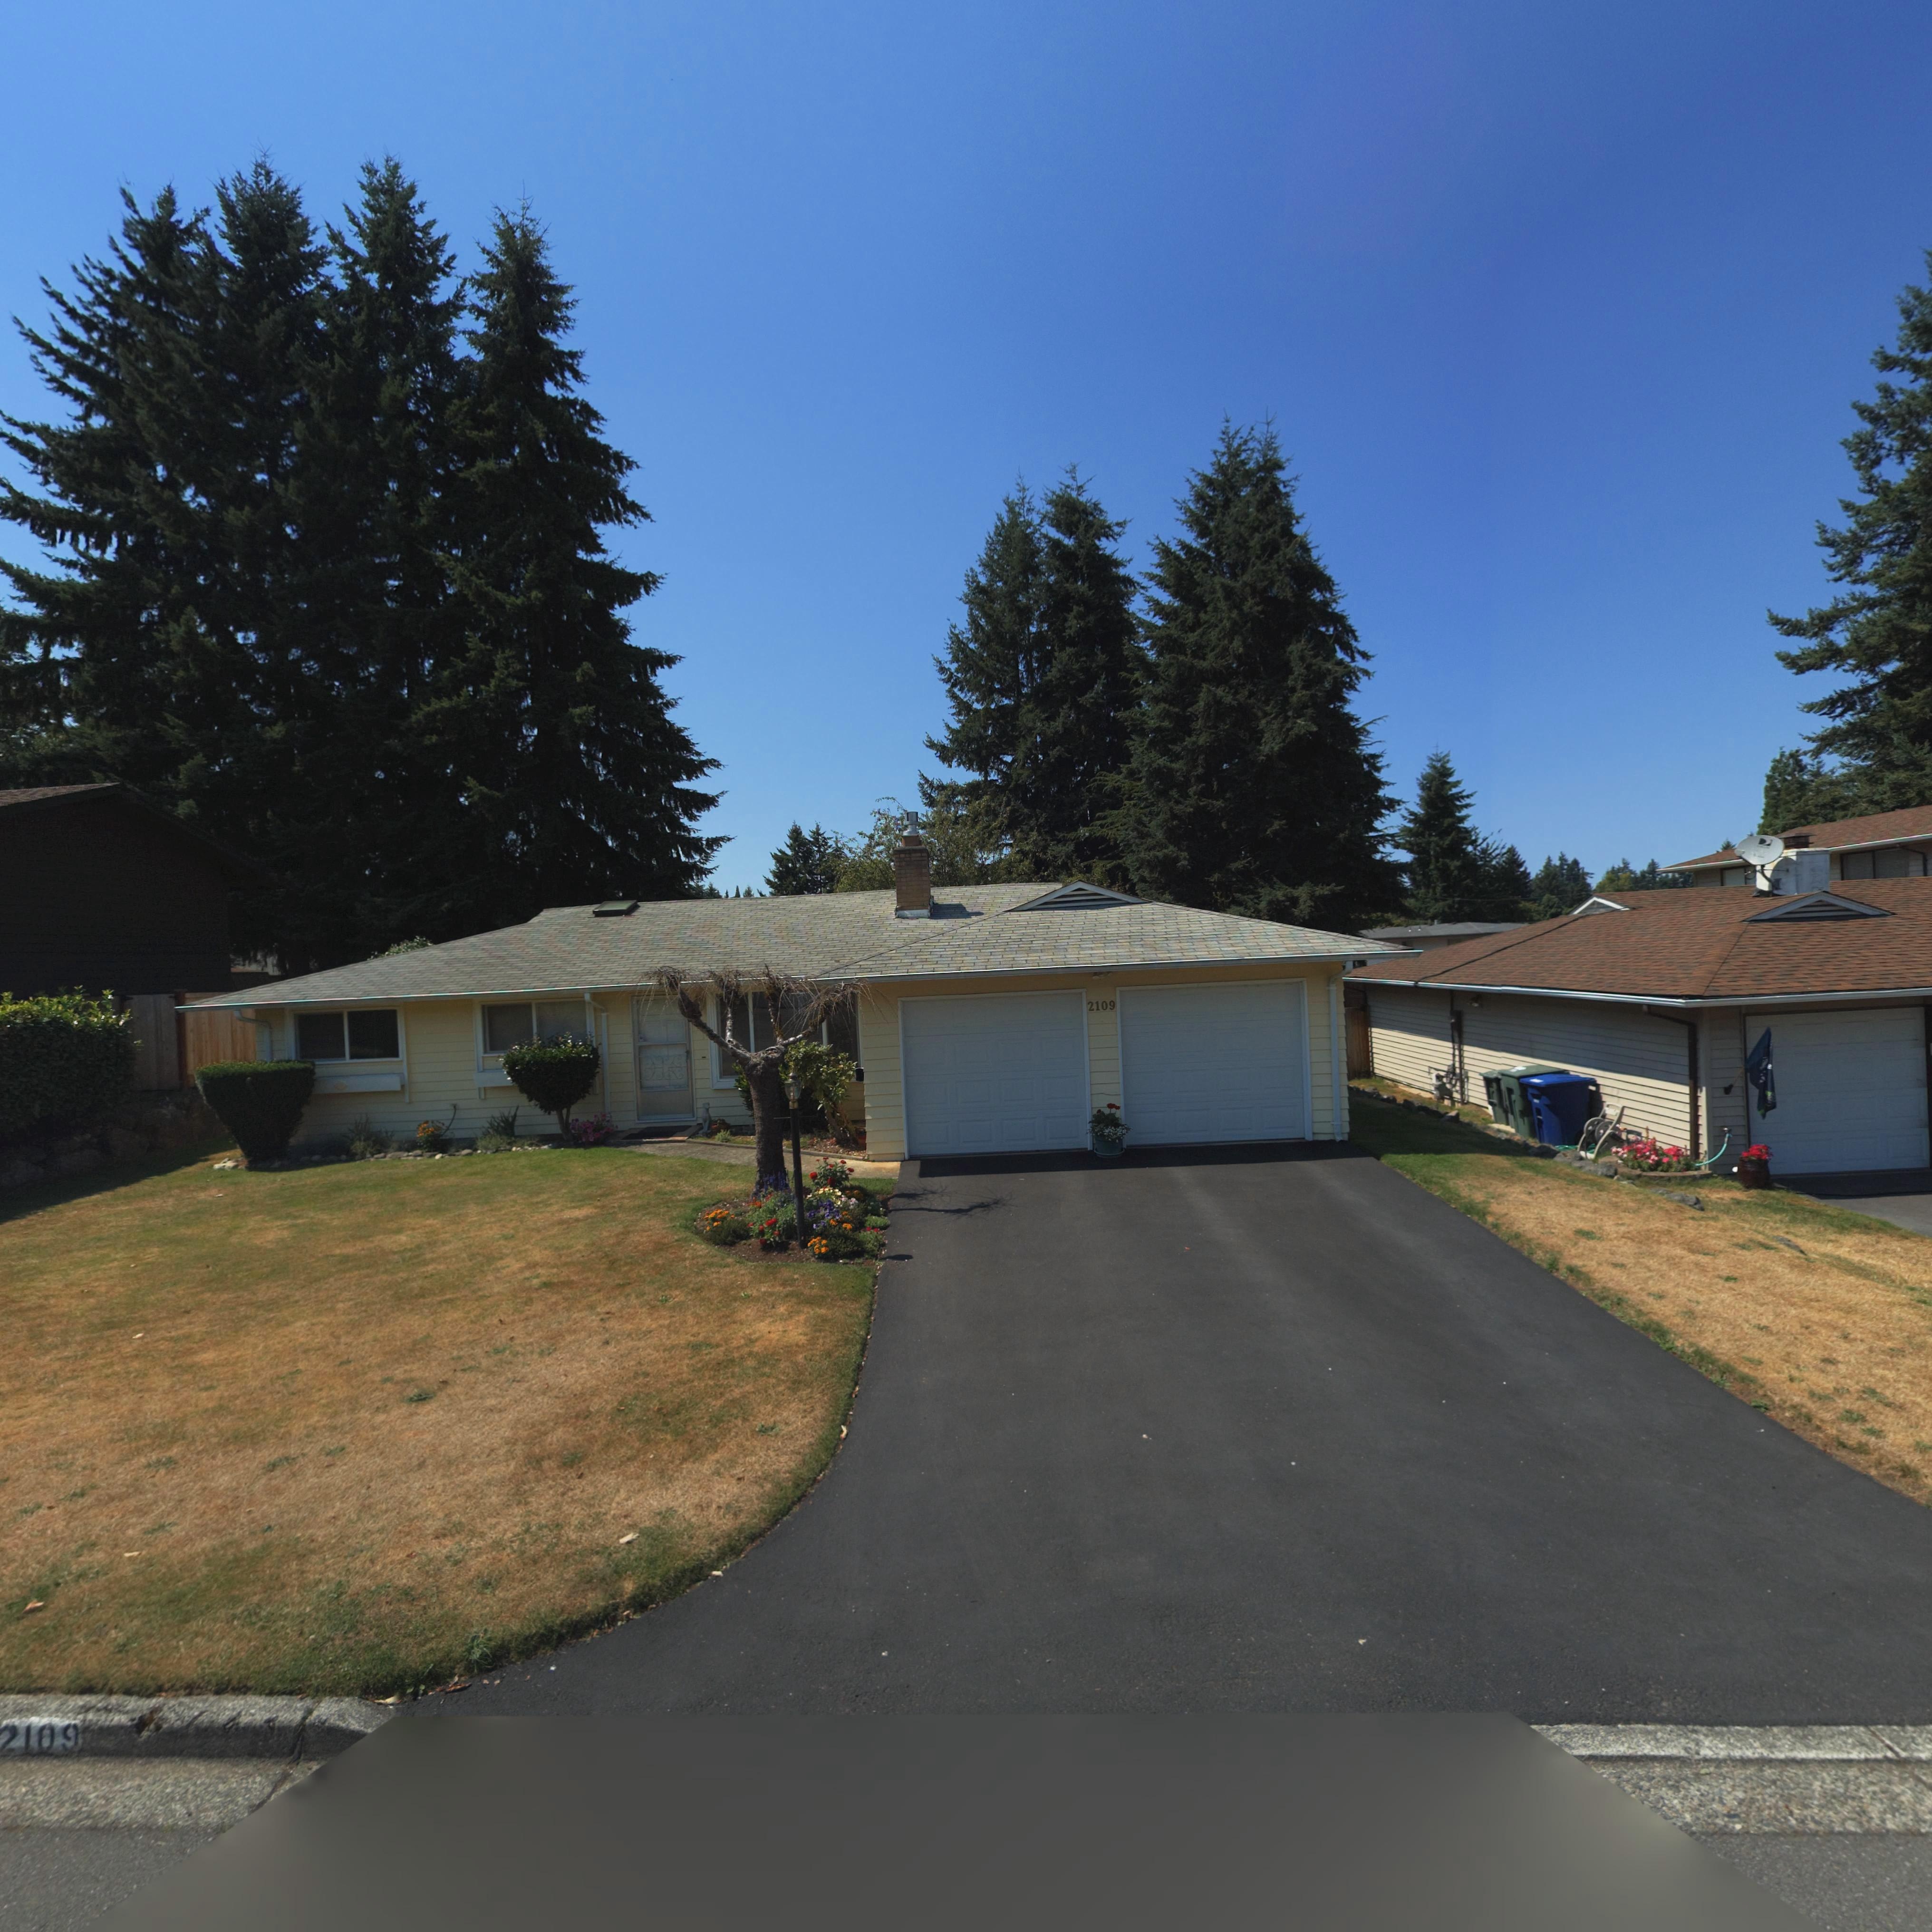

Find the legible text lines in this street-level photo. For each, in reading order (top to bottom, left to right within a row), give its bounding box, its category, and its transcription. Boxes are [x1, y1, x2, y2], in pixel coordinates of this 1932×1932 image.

[1088, 1000, 1115, 1010] StreetNumber: 2109
[1, 1720, 83, 1754] StreetNumber: 2109